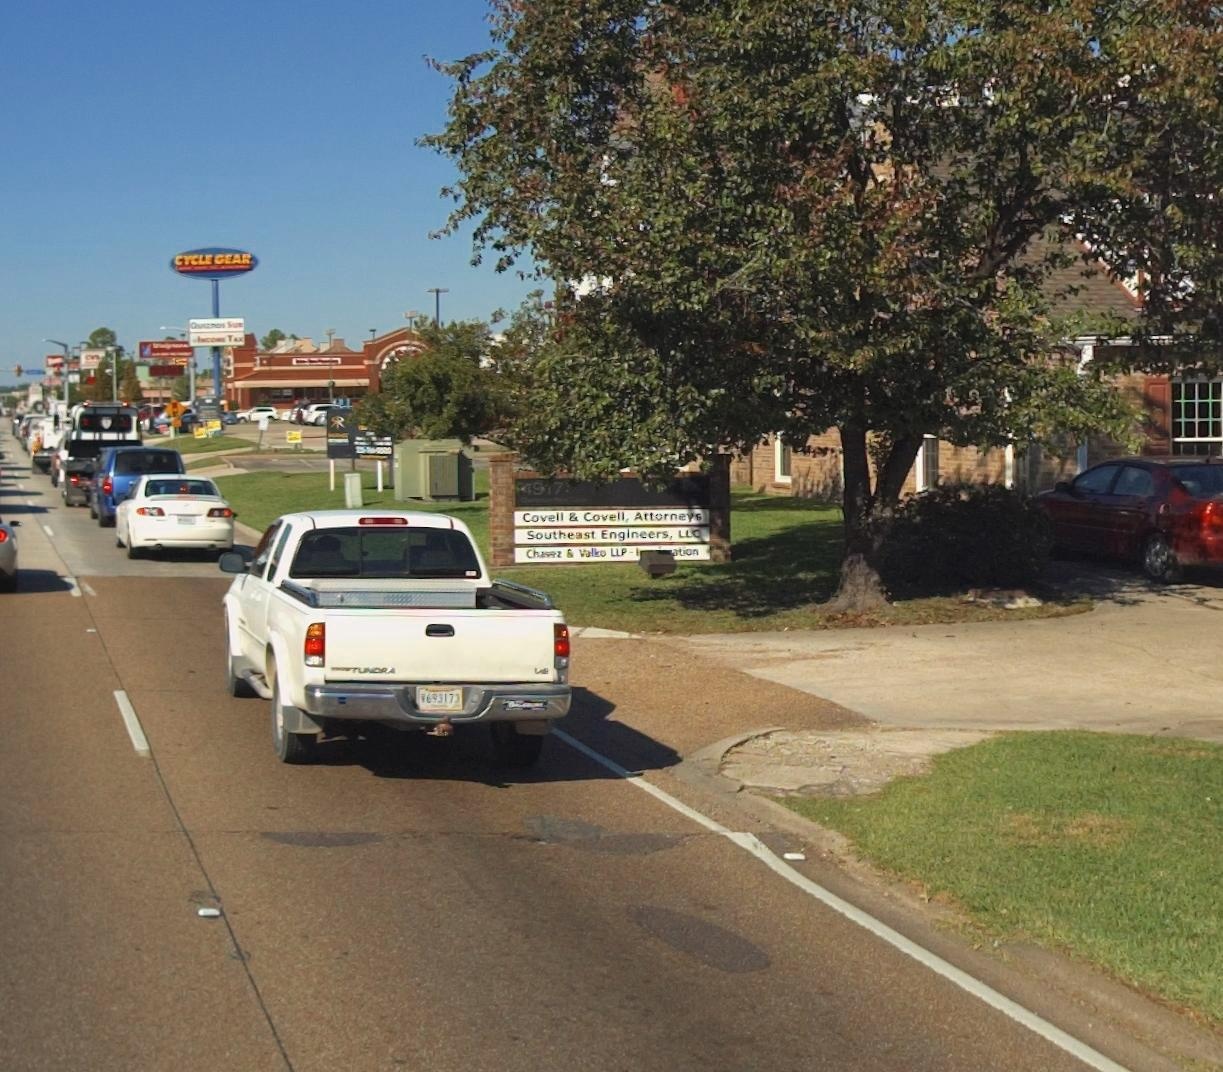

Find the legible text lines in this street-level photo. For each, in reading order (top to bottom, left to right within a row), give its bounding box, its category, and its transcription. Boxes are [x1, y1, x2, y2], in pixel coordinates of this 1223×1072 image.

[171, 252, 255, 268] BusinessName: CYCLE GEAR
[195, 332, 246, 346] None: Income Tax
[83, 352, 104, 363] BusinessName: CVS
[515, 478, 567, 498] StreetNumber: **9*7
[521, 508, 706, 526] BusinessName: Covell & Covell, Attorneys
[525, 526, 704, 544] BusinessName: Southeast Engineers, LLC
[524, 545, 629, 562] BusinessName: Ch***z & Valko LLP
[677, 545, 702, 559] BusinessName: tion
[347, 664, 399, 676] None: TUNDRA
[419, 691, 462, 706] None: 7693173